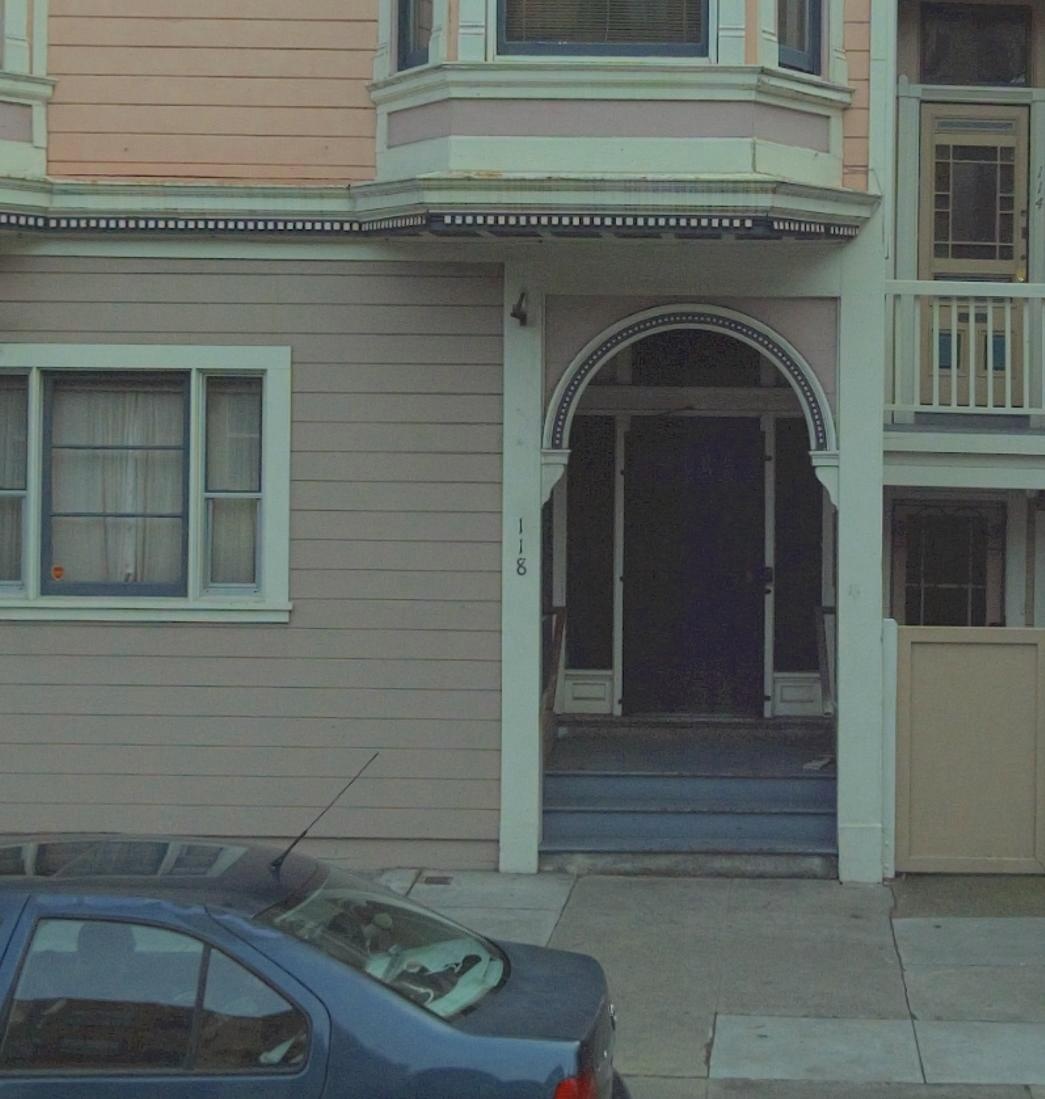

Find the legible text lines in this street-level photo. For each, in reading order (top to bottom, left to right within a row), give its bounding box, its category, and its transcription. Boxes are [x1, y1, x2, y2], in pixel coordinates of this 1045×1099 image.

[514, 515, 529, 578] StreetNumber: 118